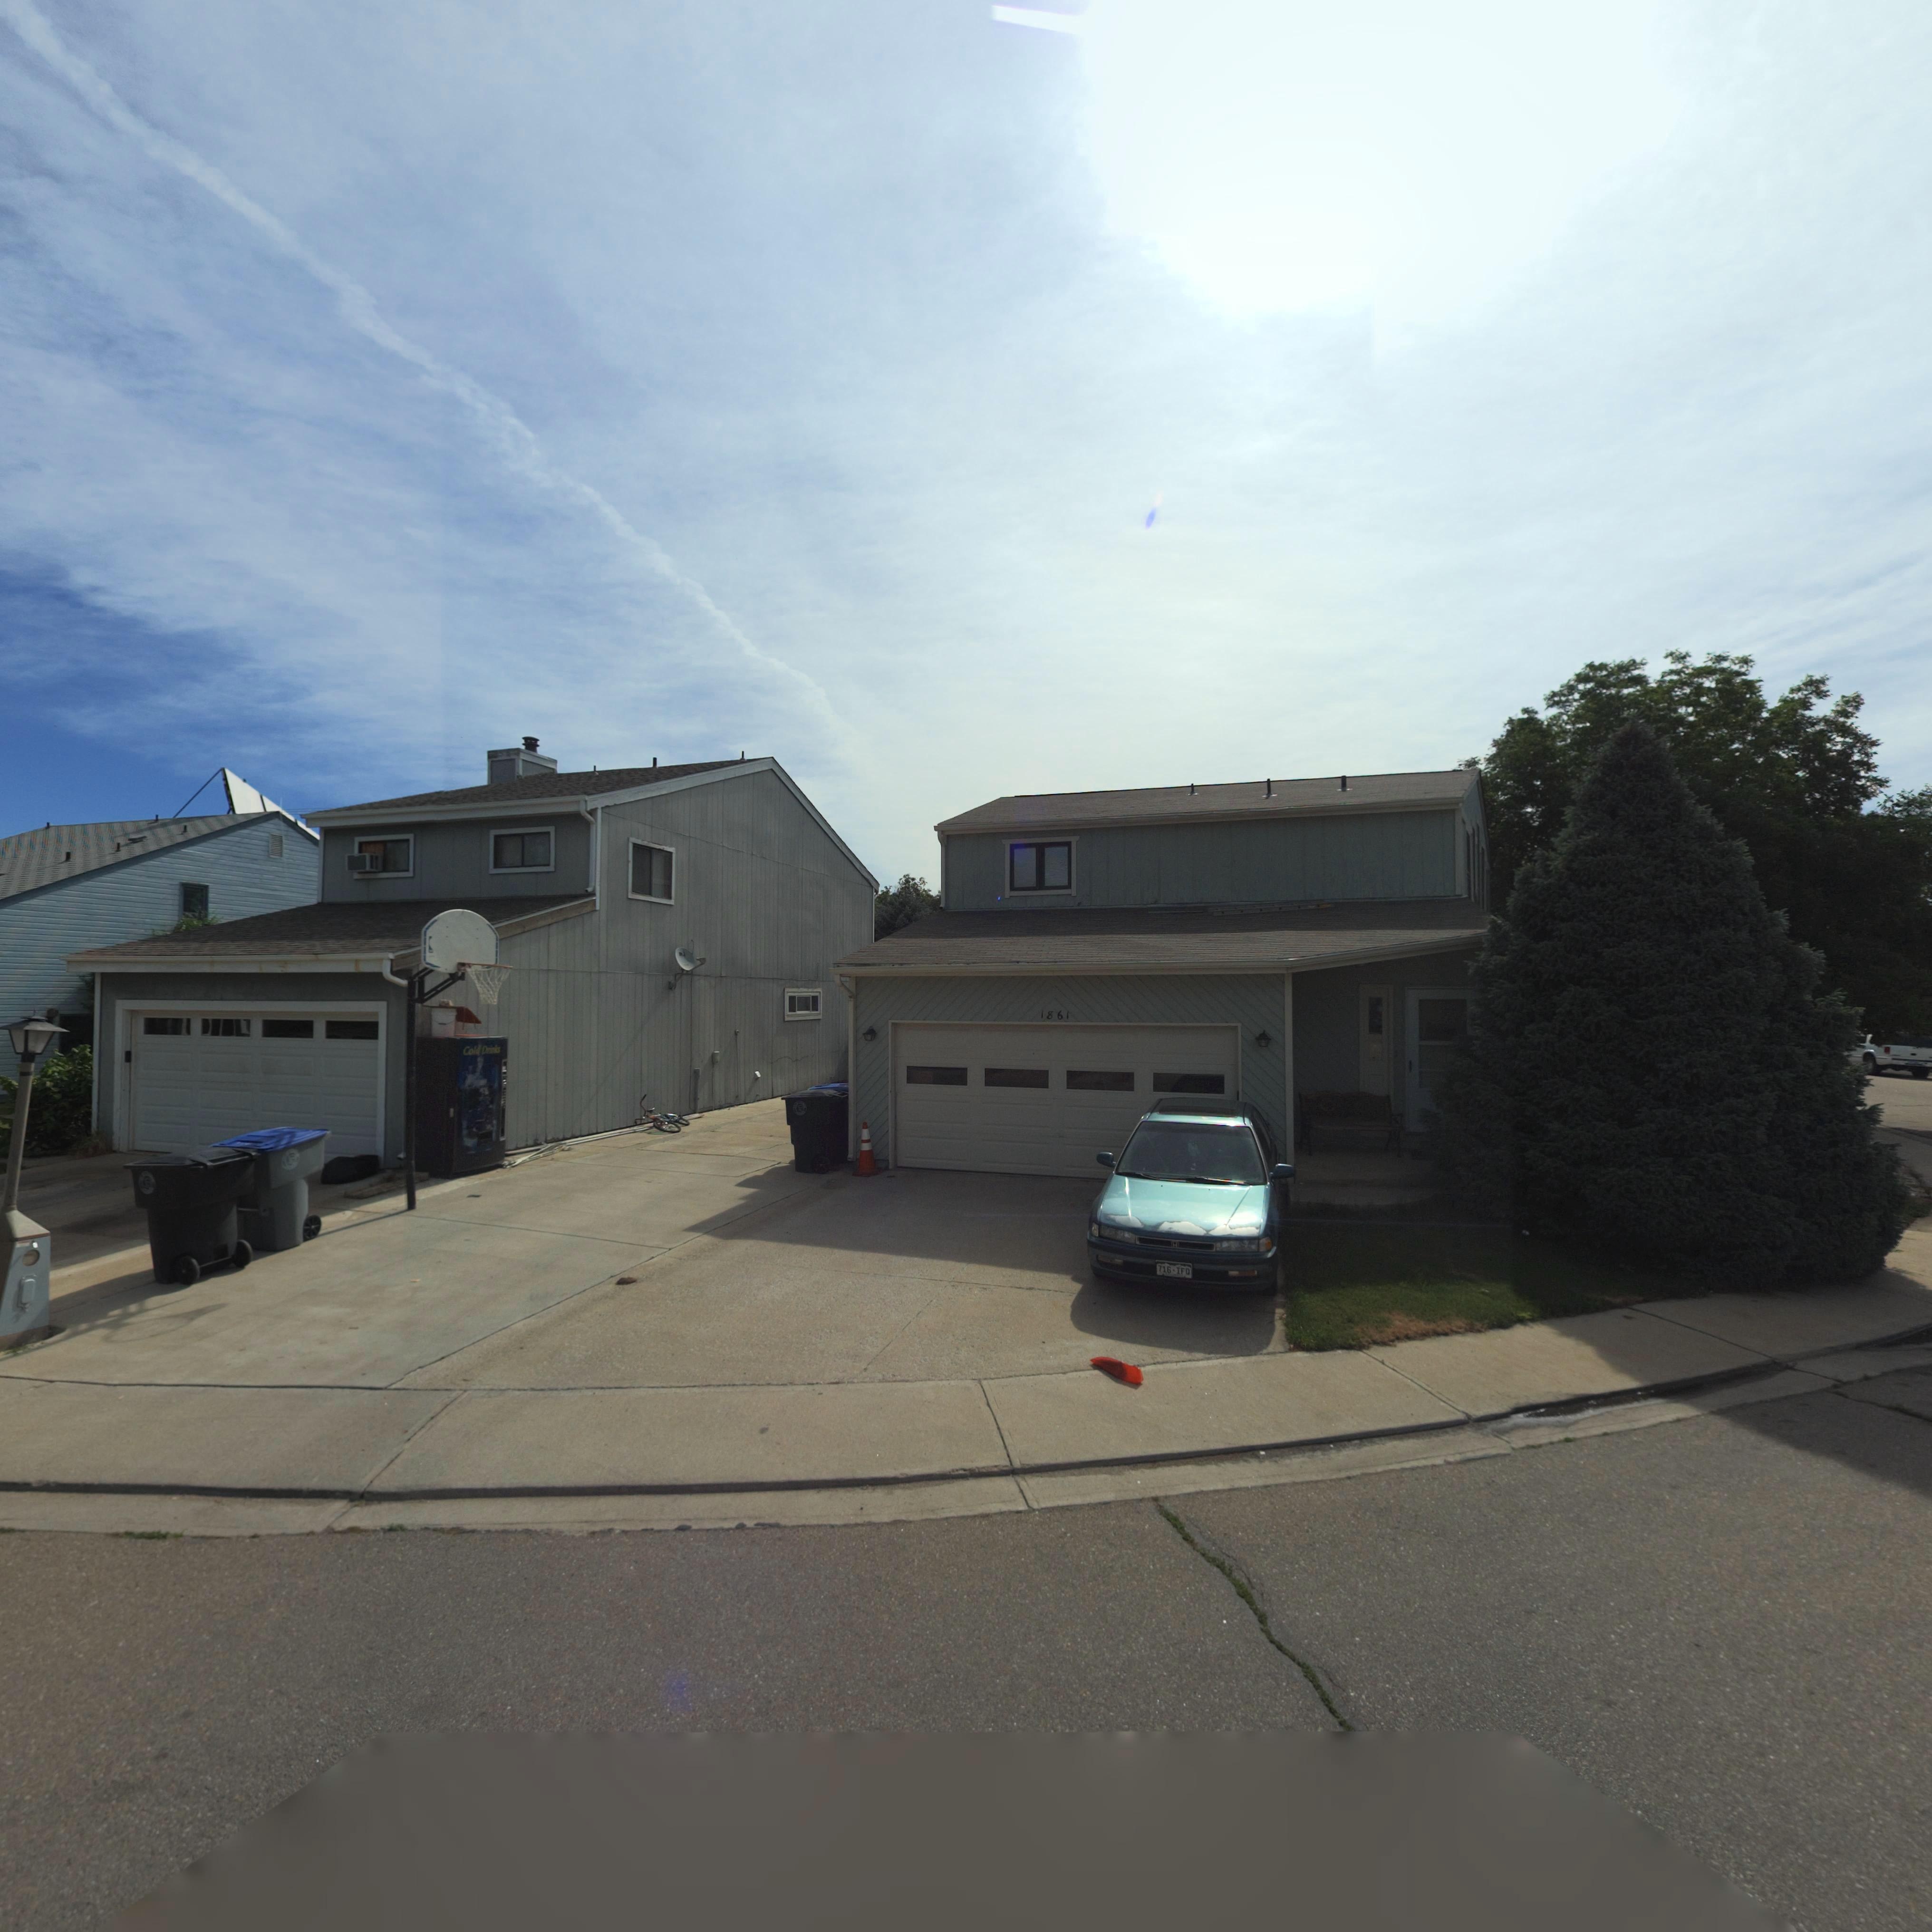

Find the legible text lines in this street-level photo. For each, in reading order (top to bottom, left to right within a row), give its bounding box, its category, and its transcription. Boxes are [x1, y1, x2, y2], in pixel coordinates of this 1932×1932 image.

[1041, 1009, 1069, 1020] StreetNumber: 1861